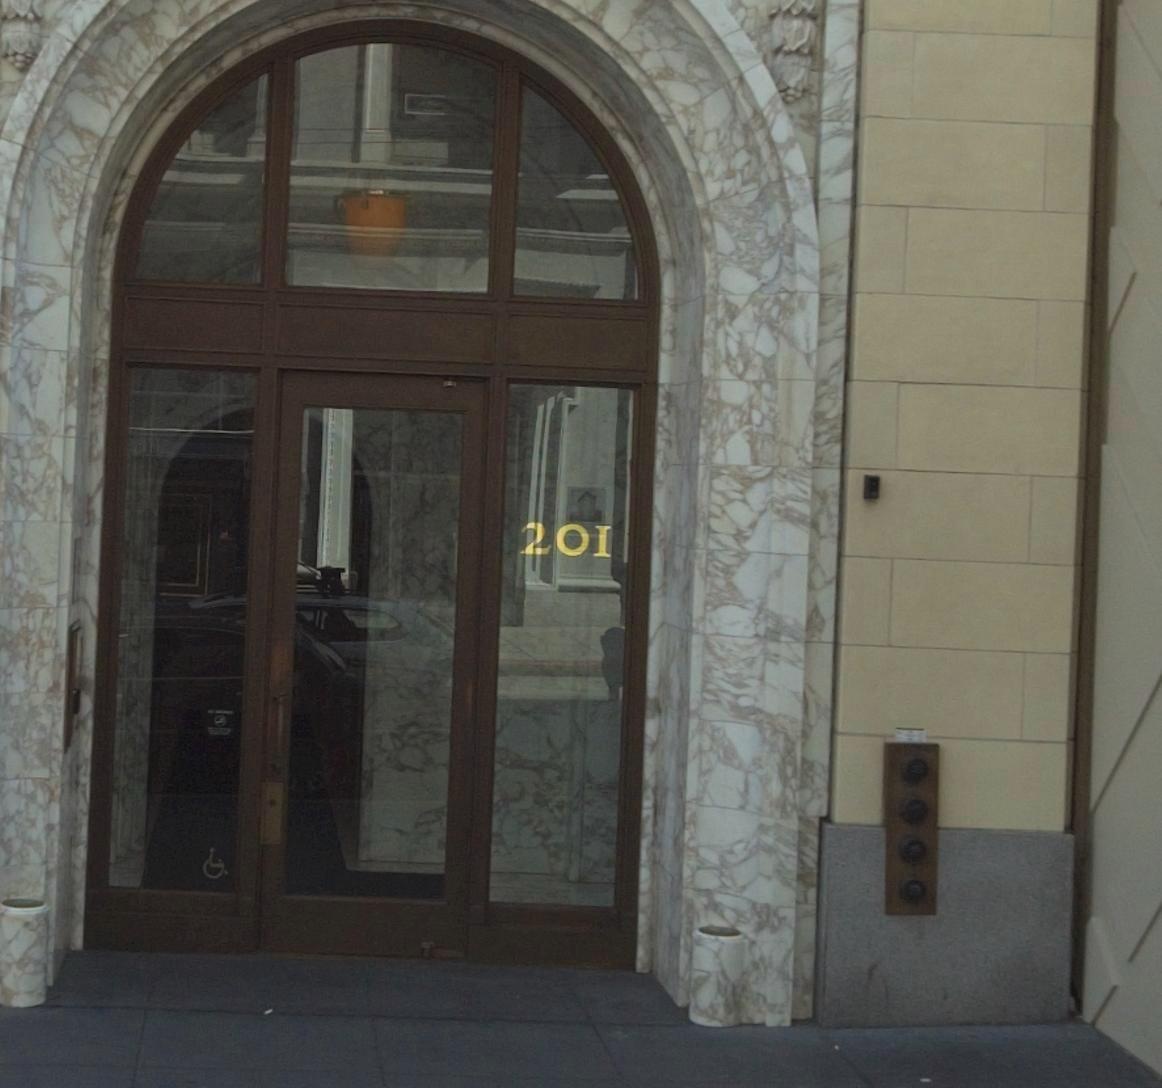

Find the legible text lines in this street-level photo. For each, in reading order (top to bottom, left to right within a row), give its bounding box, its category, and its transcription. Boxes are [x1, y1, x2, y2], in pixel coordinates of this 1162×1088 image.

[515, 520, 613, 559] StreetNumber: 201